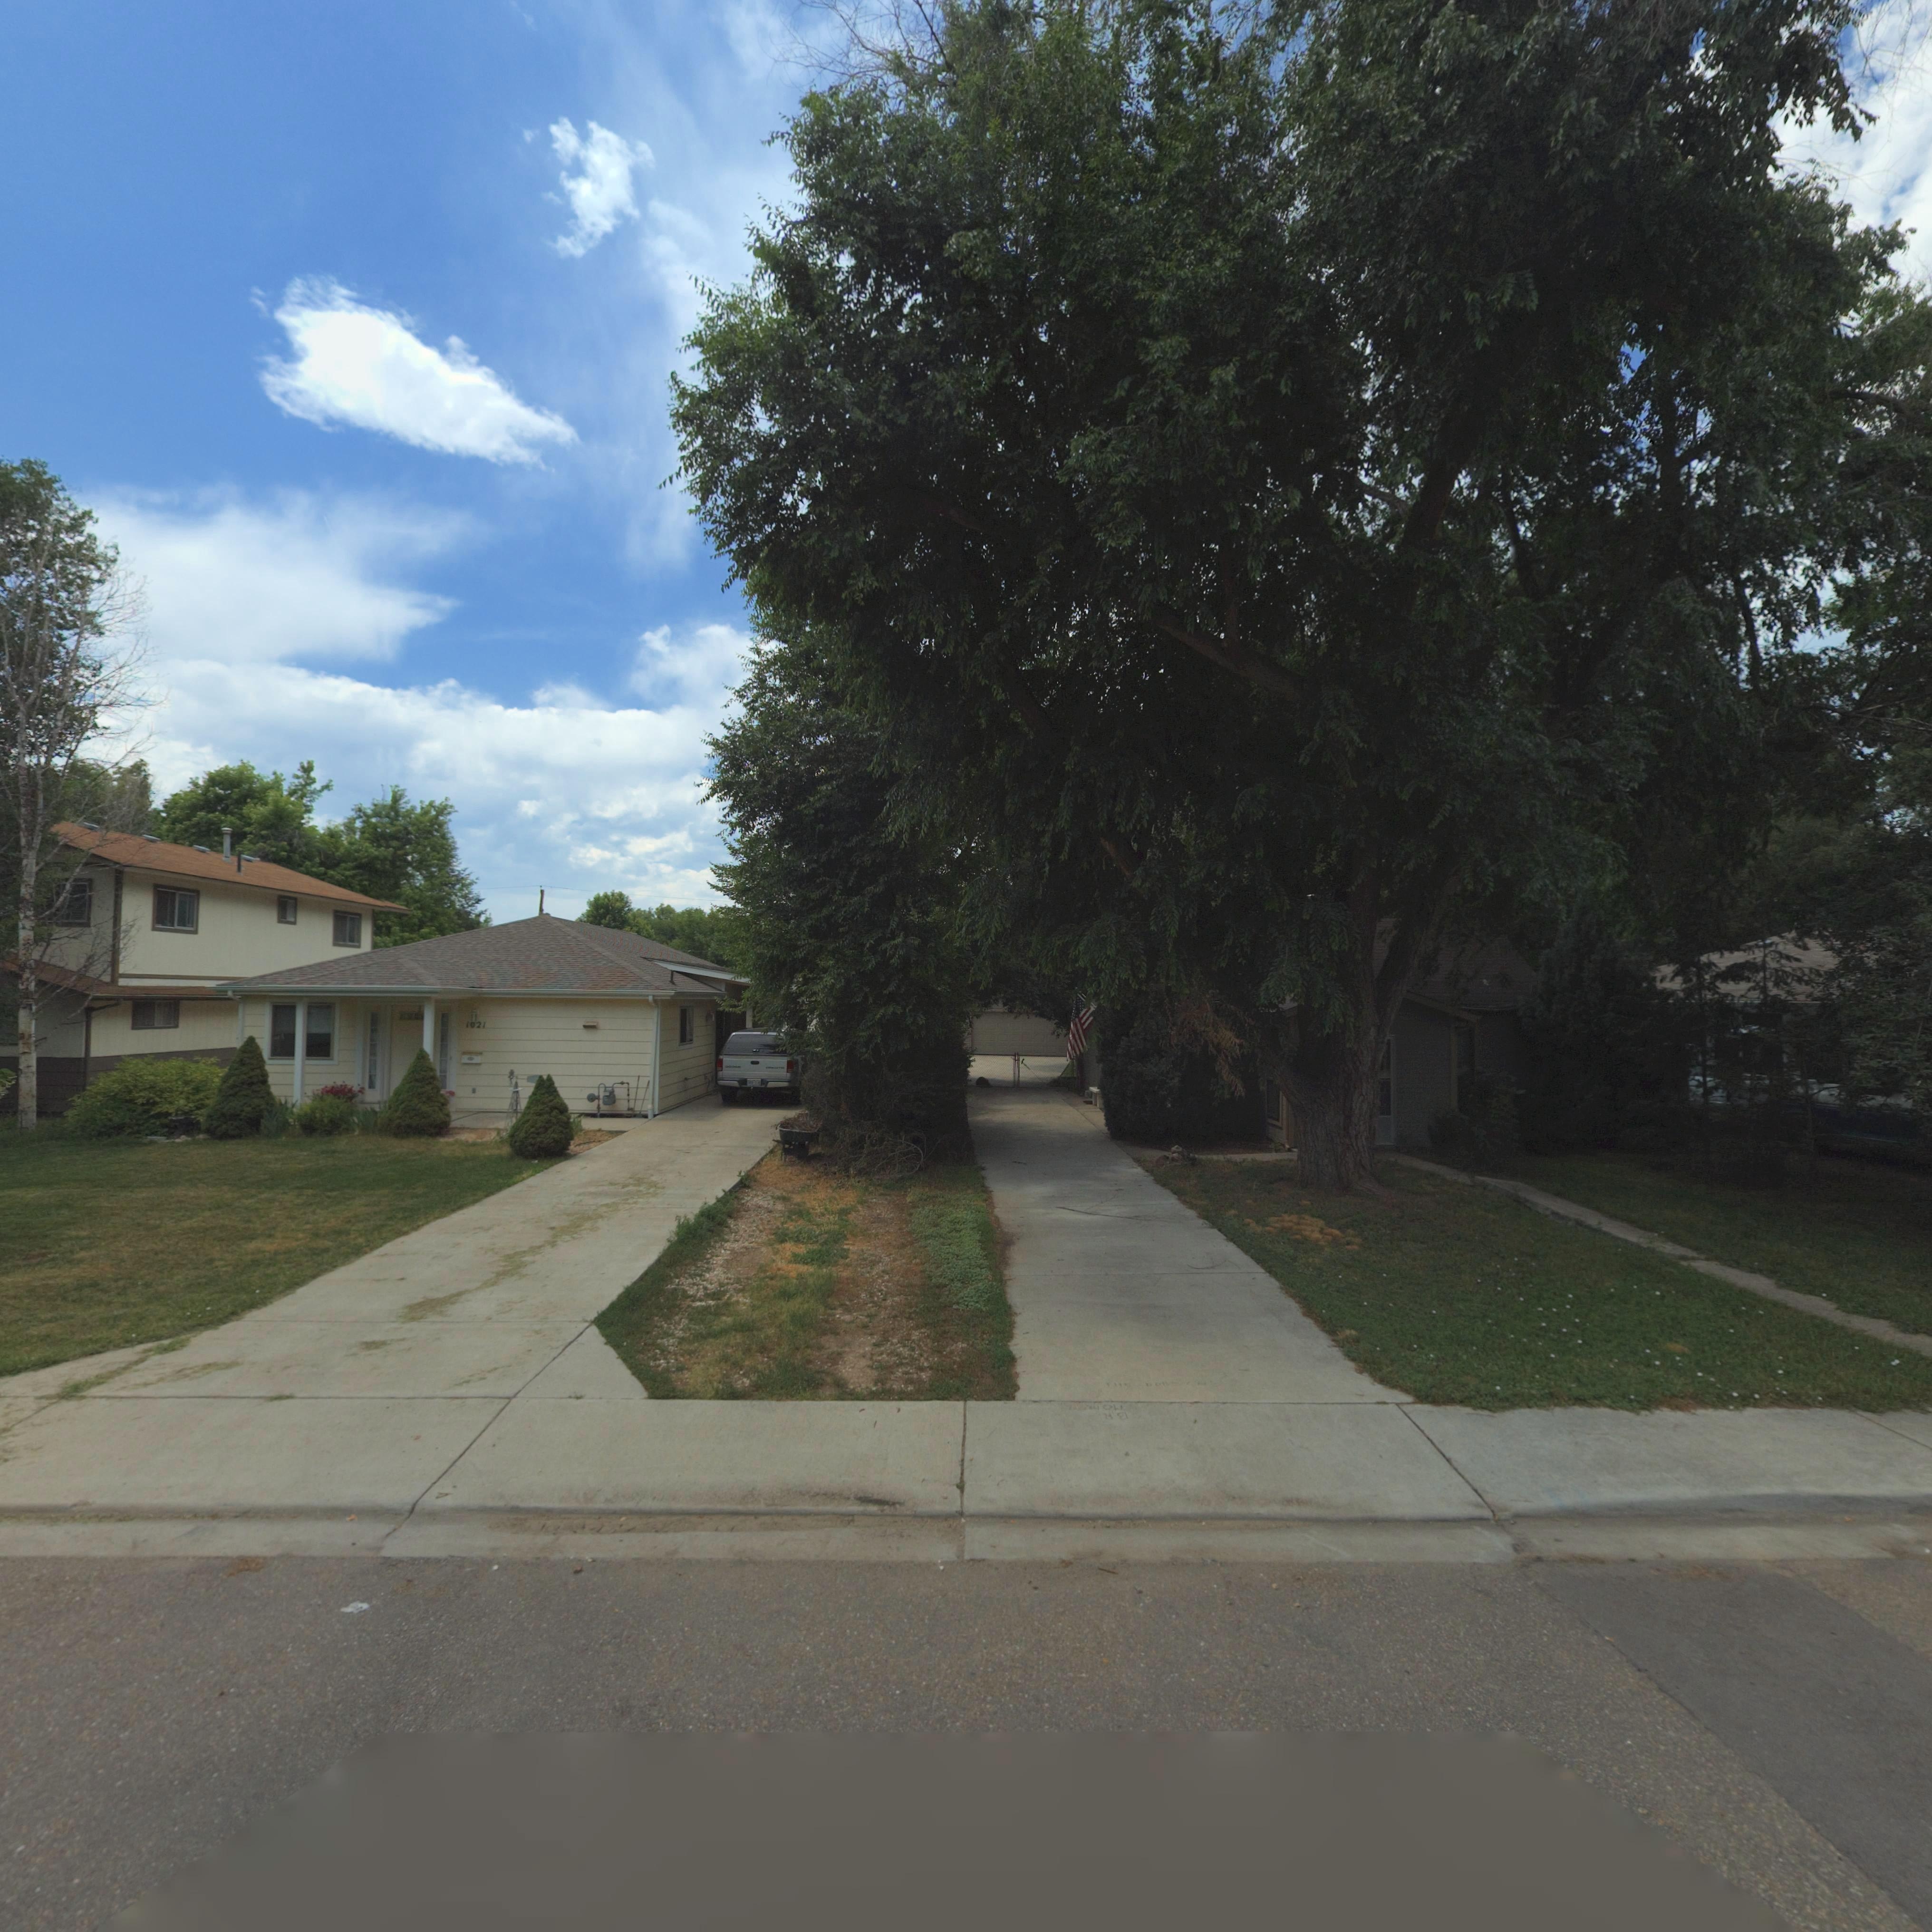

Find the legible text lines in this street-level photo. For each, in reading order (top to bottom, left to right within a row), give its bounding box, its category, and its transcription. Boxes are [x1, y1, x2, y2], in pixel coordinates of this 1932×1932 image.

[466, 1020, 486, 1029] StreetNumber: 1021